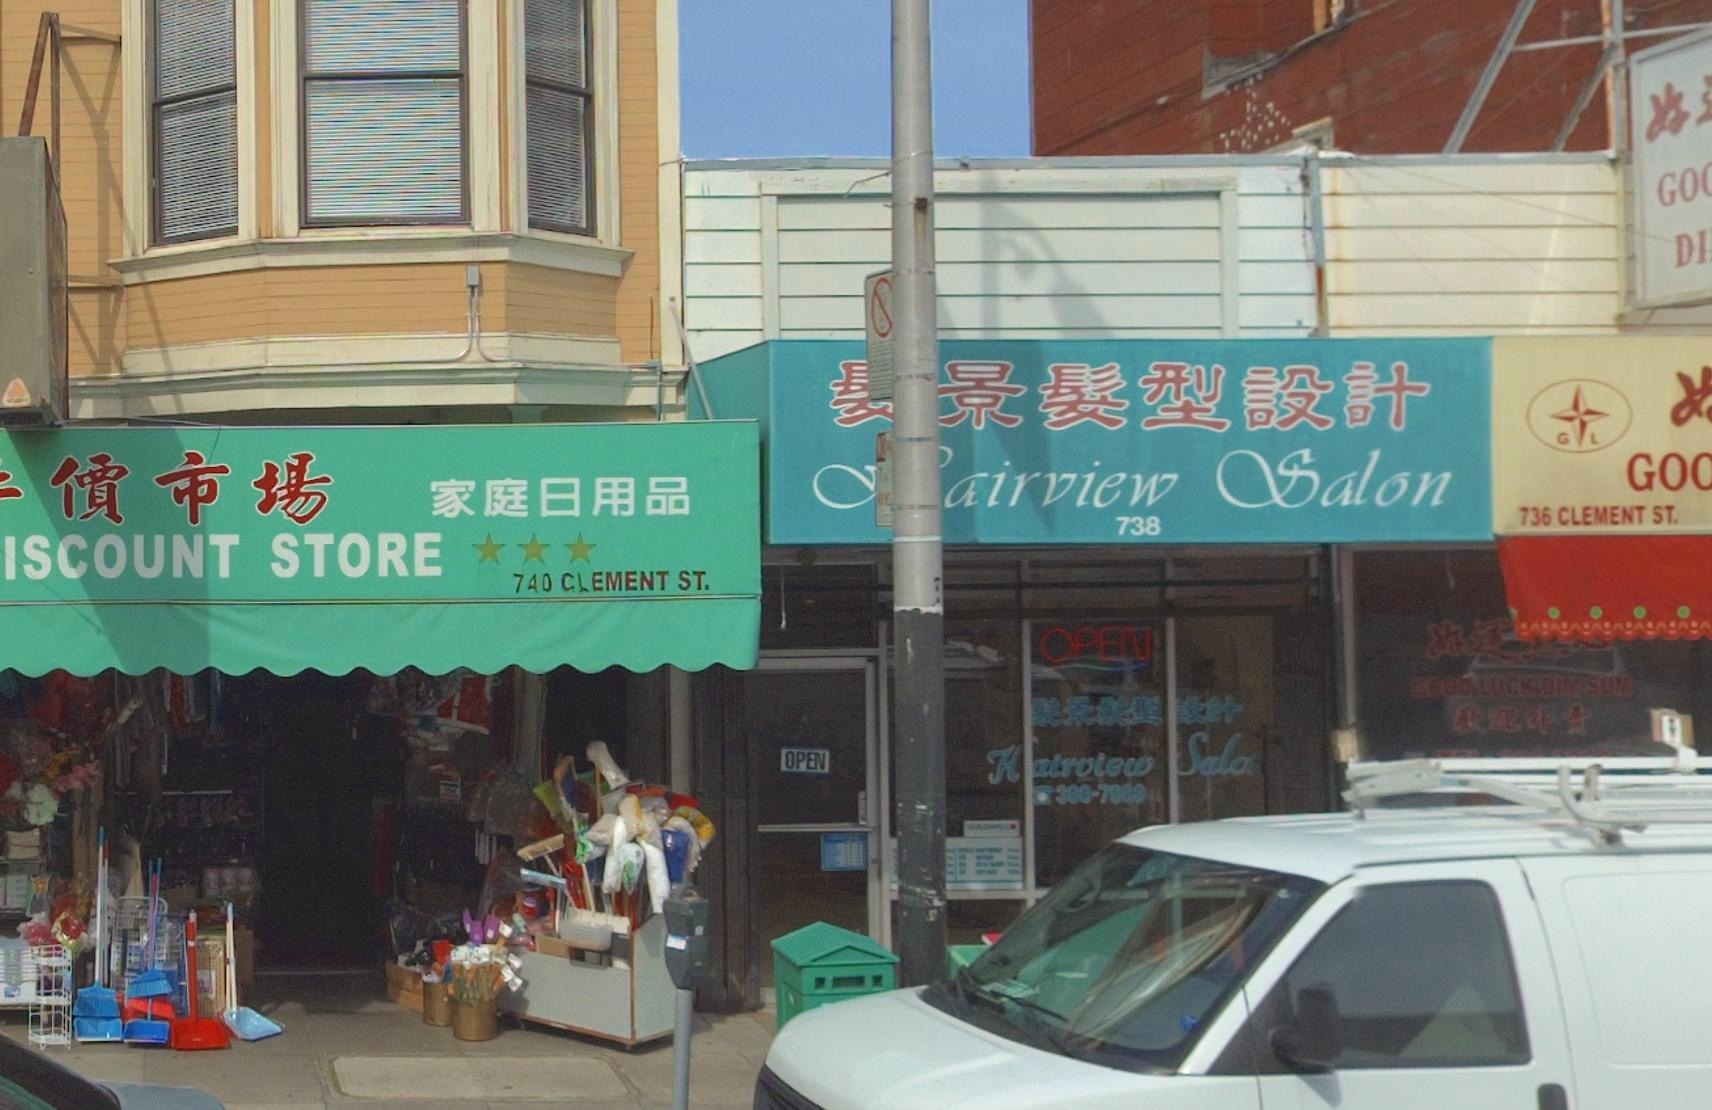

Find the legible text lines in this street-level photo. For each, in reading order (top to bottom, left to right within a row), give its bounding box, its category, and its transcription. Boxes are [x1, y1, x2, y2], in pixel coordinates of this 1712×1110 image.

[1655, 166, 1700, 209] BusinessName: GO
[1673, 228, 1709, 270] BusinessName: DI
[1556, 431, 1572, 446] None: G
[1589, 432, 1600, 446] None: L
[943, 446, 1456, 509] BusinessName: airview Salon
[1626, 451, 1689, 493] BusinessName: GO
[1115, 515, 1162, 537] StreetNumber: 738
[1518, 505, 1552, 527] StreetNumber: 736
[1556, 505, 1678, 526] StreetName: CLEMENT ST.
[3, 531, 443, 581] BusinessName: ISCOUNT STORE
[512, 571, 553, 594] StreetNumber: 740
[560, 570, 710, 593] StreetName: CLEMENT ST.
[1037, 626, 1151, 663] None: OPEN
[1410, 675, 1634, 698] BusinessName: GOOD LUCK DIM SUM
[784, 750, 827, 771] None: OPEN
[985, 731, 1252, 786] BusinessName: Hairview Salo
[1055, 783, 1148, 805] None: 386-7988